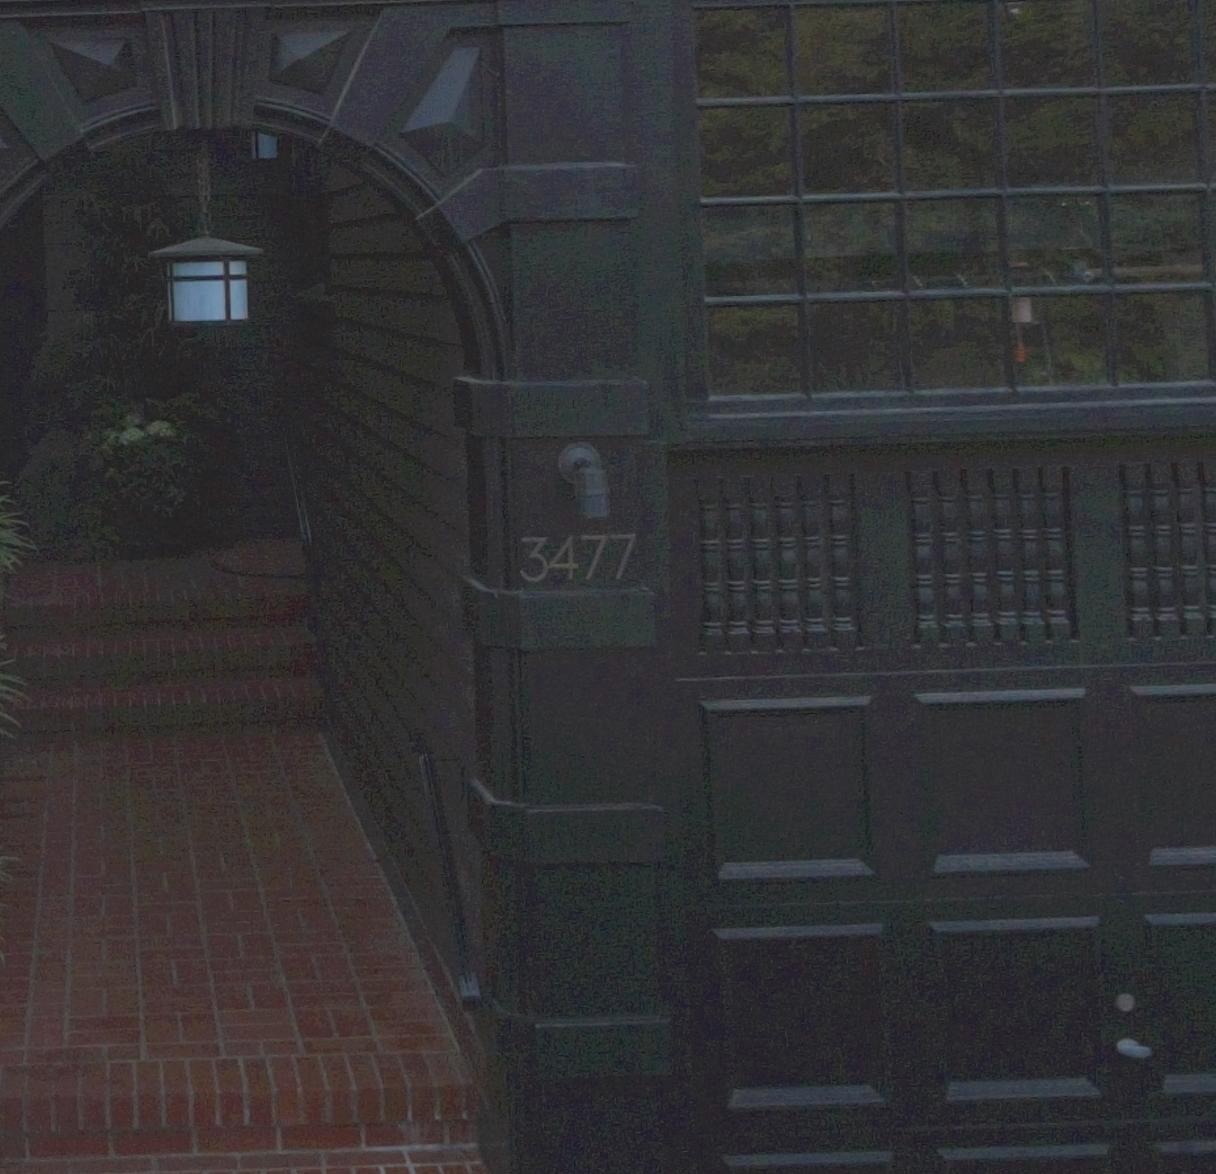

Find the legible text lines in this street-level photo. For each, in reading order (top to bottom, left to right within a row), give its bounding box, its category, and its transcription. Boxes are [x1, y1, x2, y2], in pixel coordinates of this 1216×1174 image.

[516, 529, 641, 586] StreetNumber: 3477